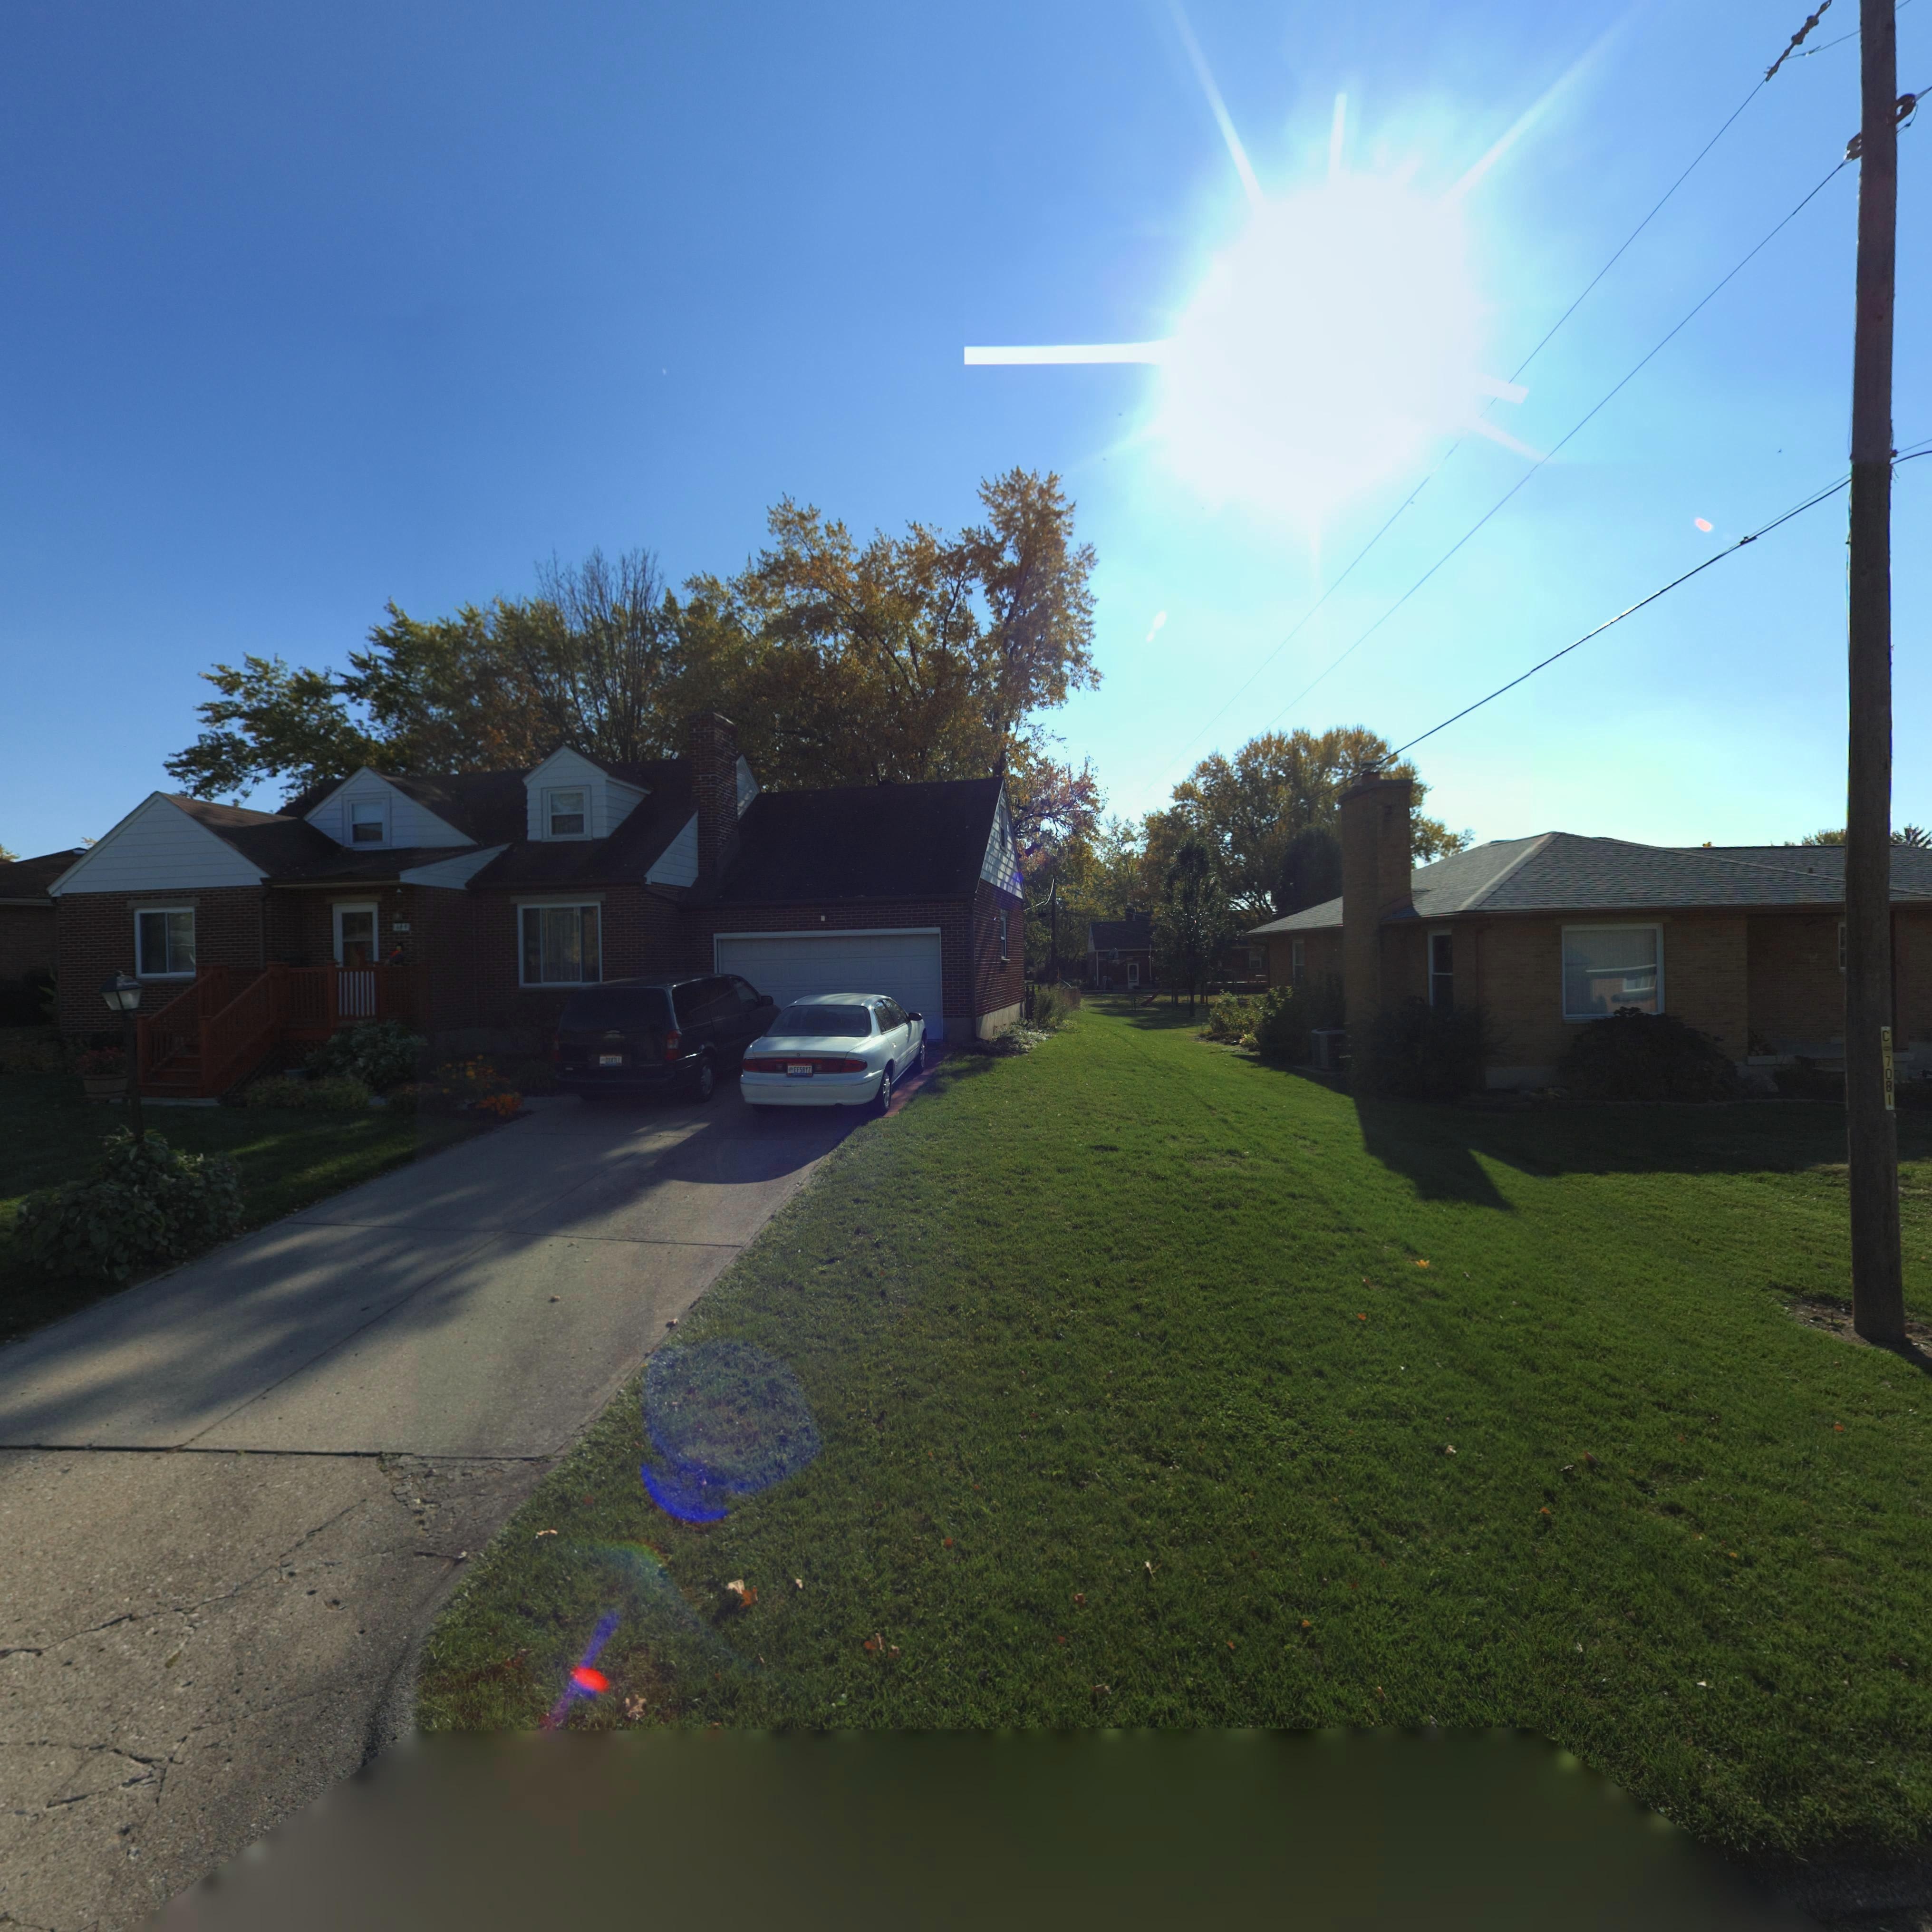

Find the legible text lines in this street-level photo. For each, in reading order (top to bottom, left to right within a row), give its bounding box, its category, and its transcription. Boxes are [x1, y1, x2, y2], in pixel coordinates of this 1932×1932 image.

[395, 923, 408, 930] StreetNumber: 644
[605, 1056, 621, 1064] None: DX47LL
[793, 1066, 811, 1073] None: EF58YZ
[1881, 1029, 1894, 1106] None: C*7081